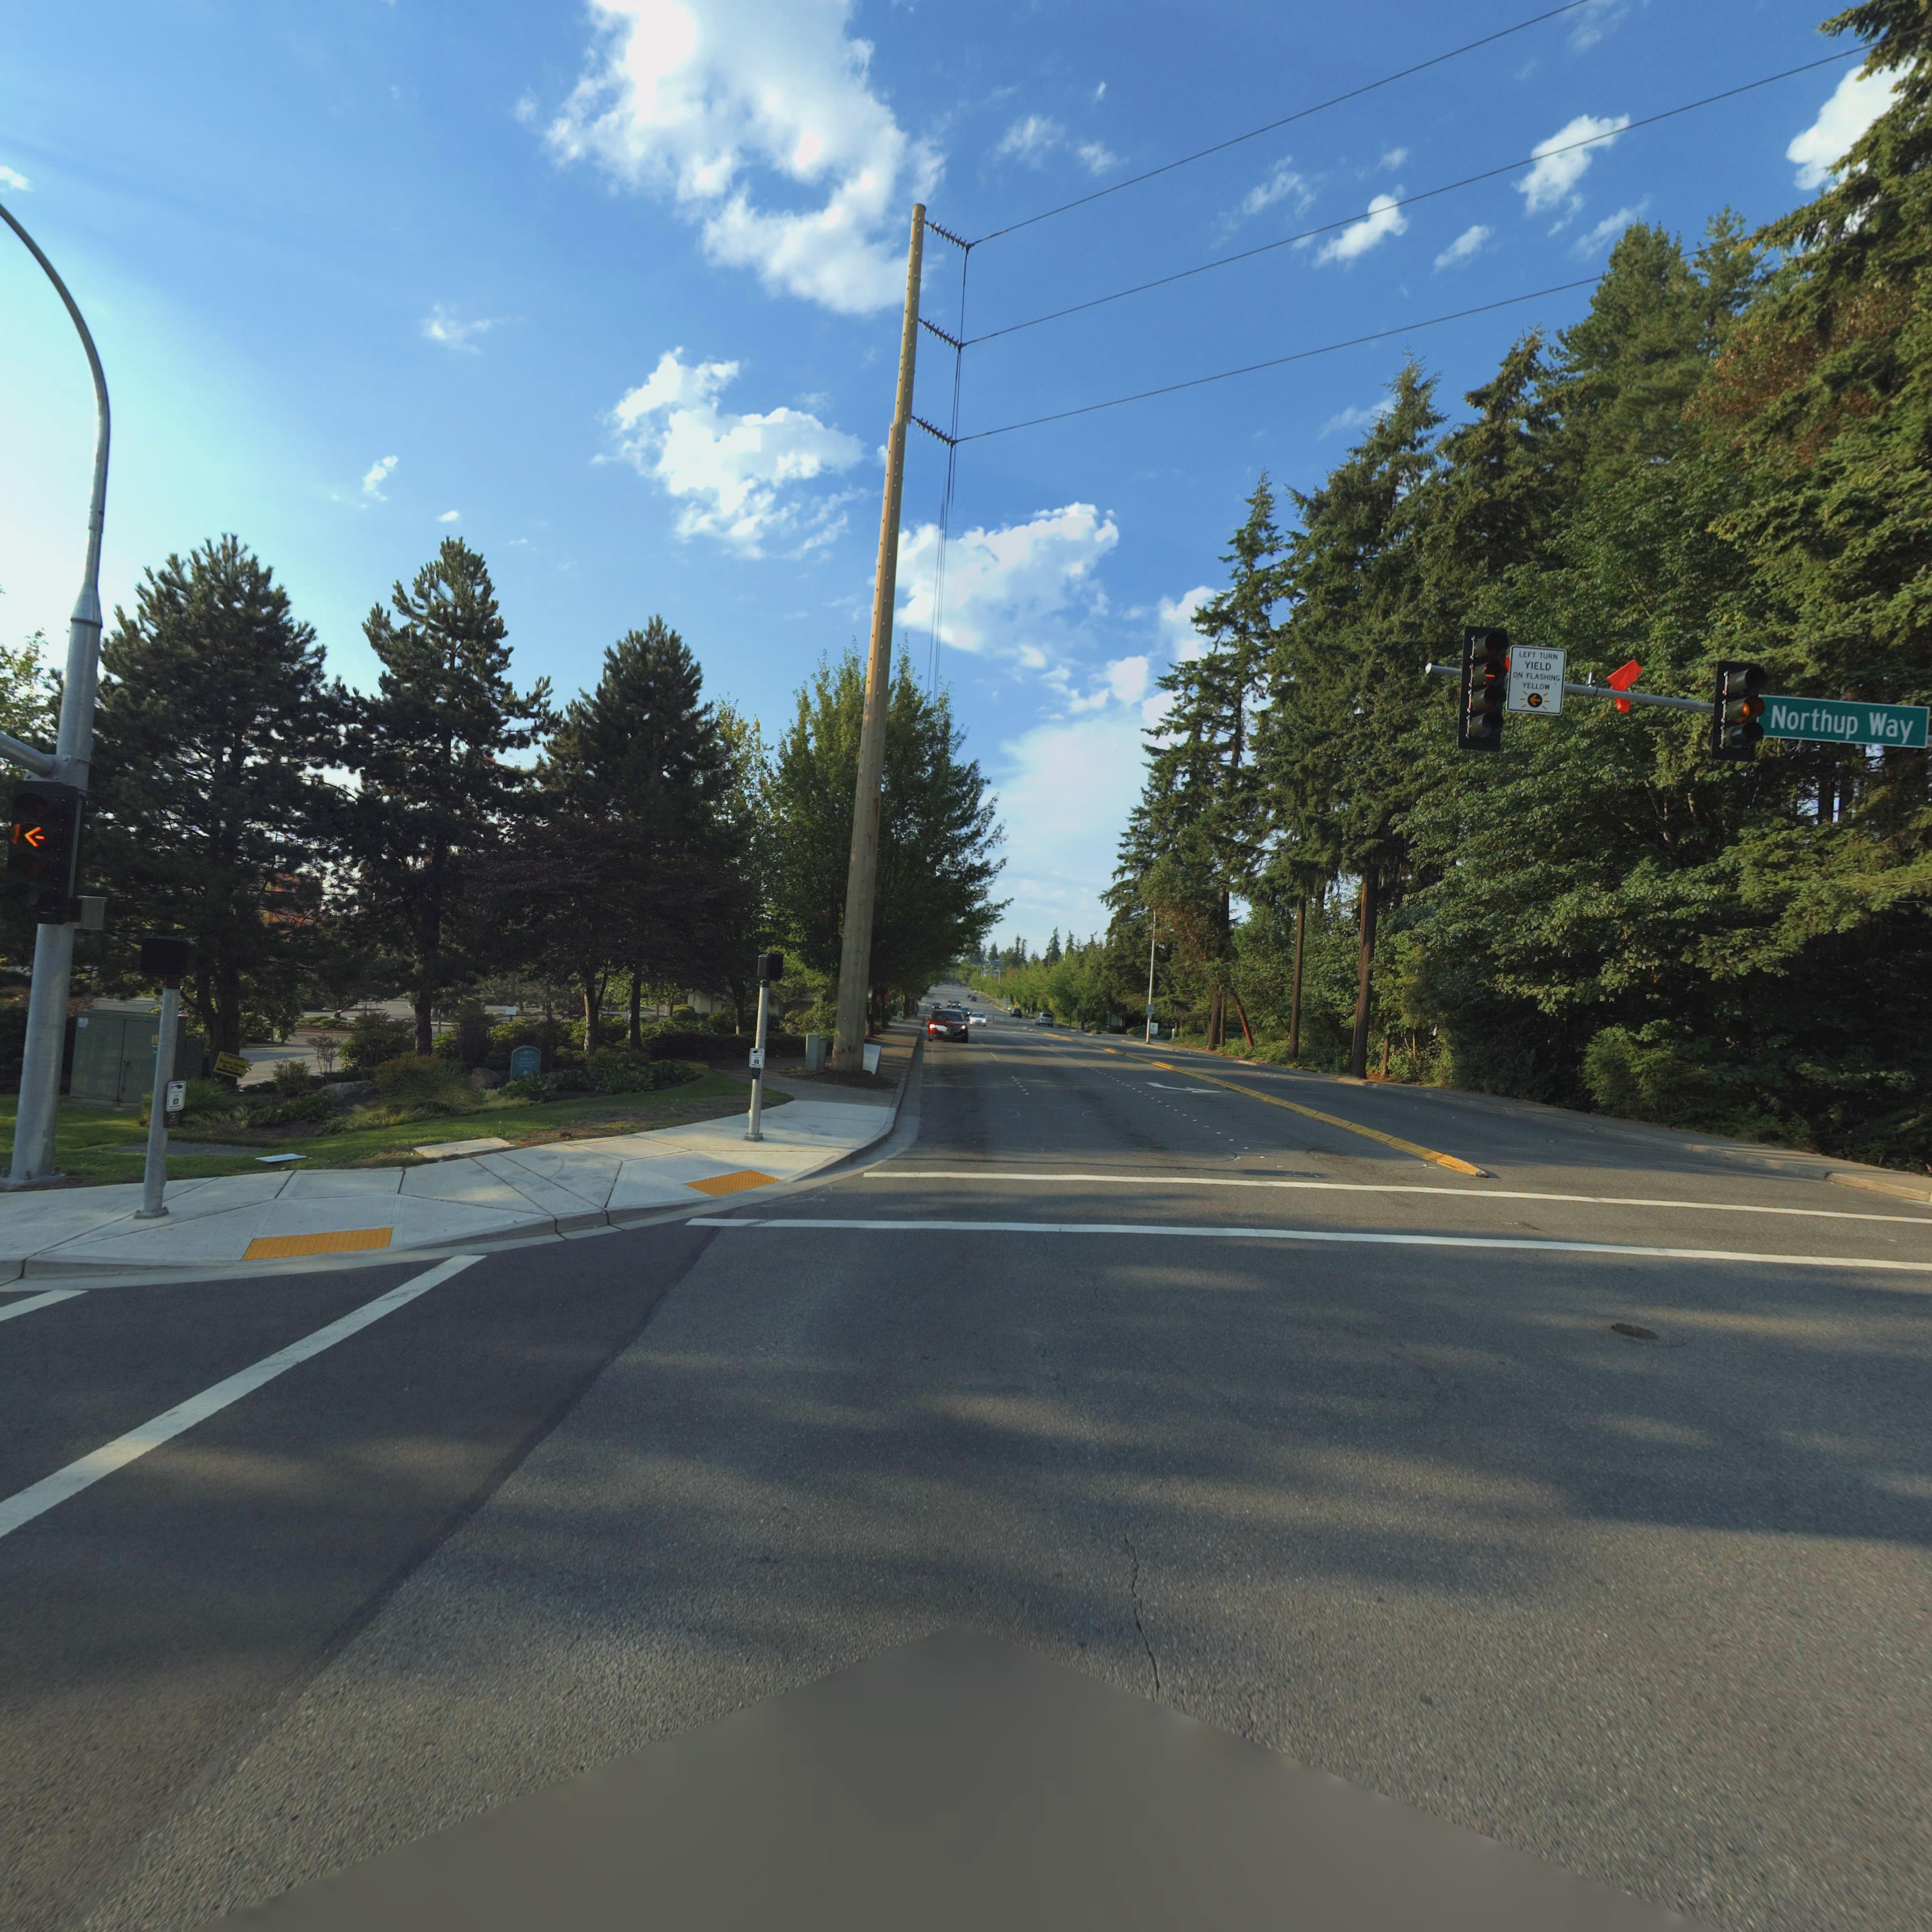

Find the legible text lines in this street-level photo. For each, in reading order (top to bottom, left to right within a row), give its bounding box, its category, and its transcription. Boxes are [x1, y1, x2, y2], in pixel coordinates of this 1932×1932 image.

[1770, 705, 1913, 744] StreetName: Northup Way